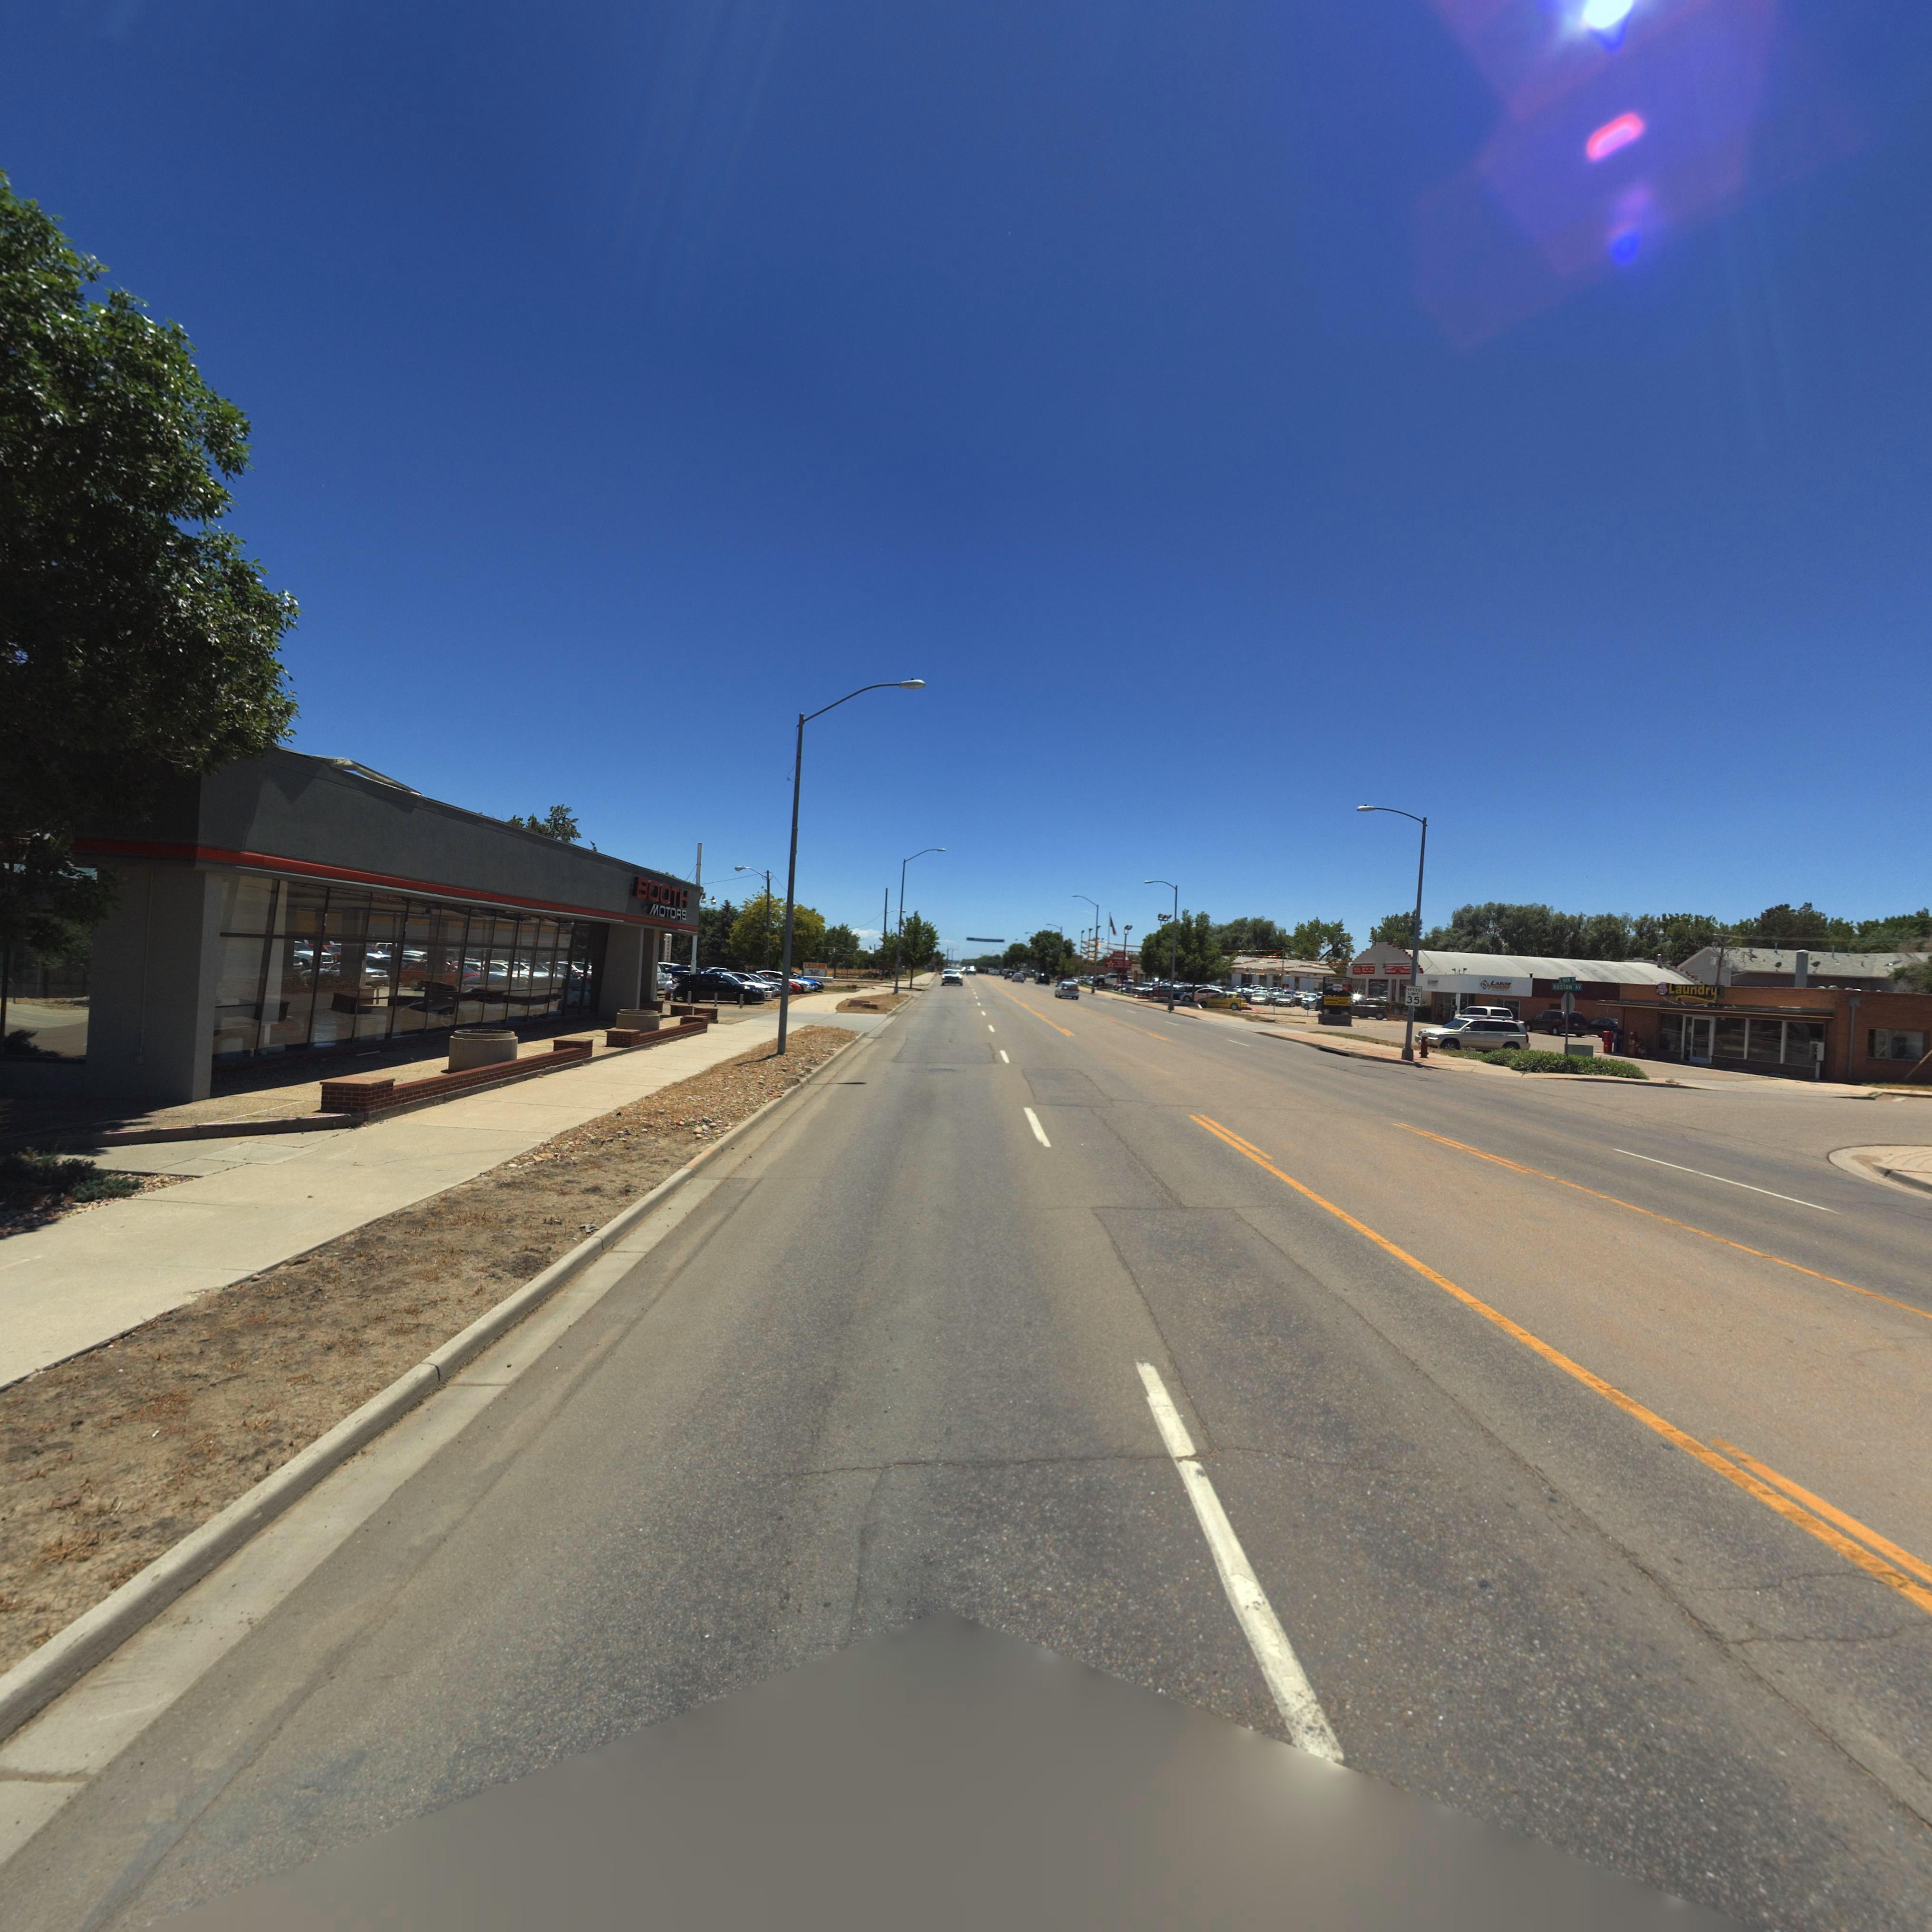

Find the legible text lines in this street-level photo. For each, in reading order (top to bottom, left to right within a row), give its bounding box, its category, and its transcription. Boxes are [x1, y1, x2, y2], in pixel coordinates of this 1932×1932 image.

[635, 875, 689, 909] BusinessName: BOOTH
[648, 903, 687, 921] BusinessName: MOTORS
[804, 963, 825, 967] BusinessName: **YLO*
[1559, 977, 1575, 983] StreetName: * **** S*
[1490, 980, 1511, 986] BusinessName: LA*OR
[1488, 984, 1510, 990] BusinessName: F******
[1553, 984, 1582, 990] StreetName: *OS*ON AV
[1656, 988, 1667, 993] BusinessName: STREET
[1668, 983, 1717, 1003] BusinessName: Laundry